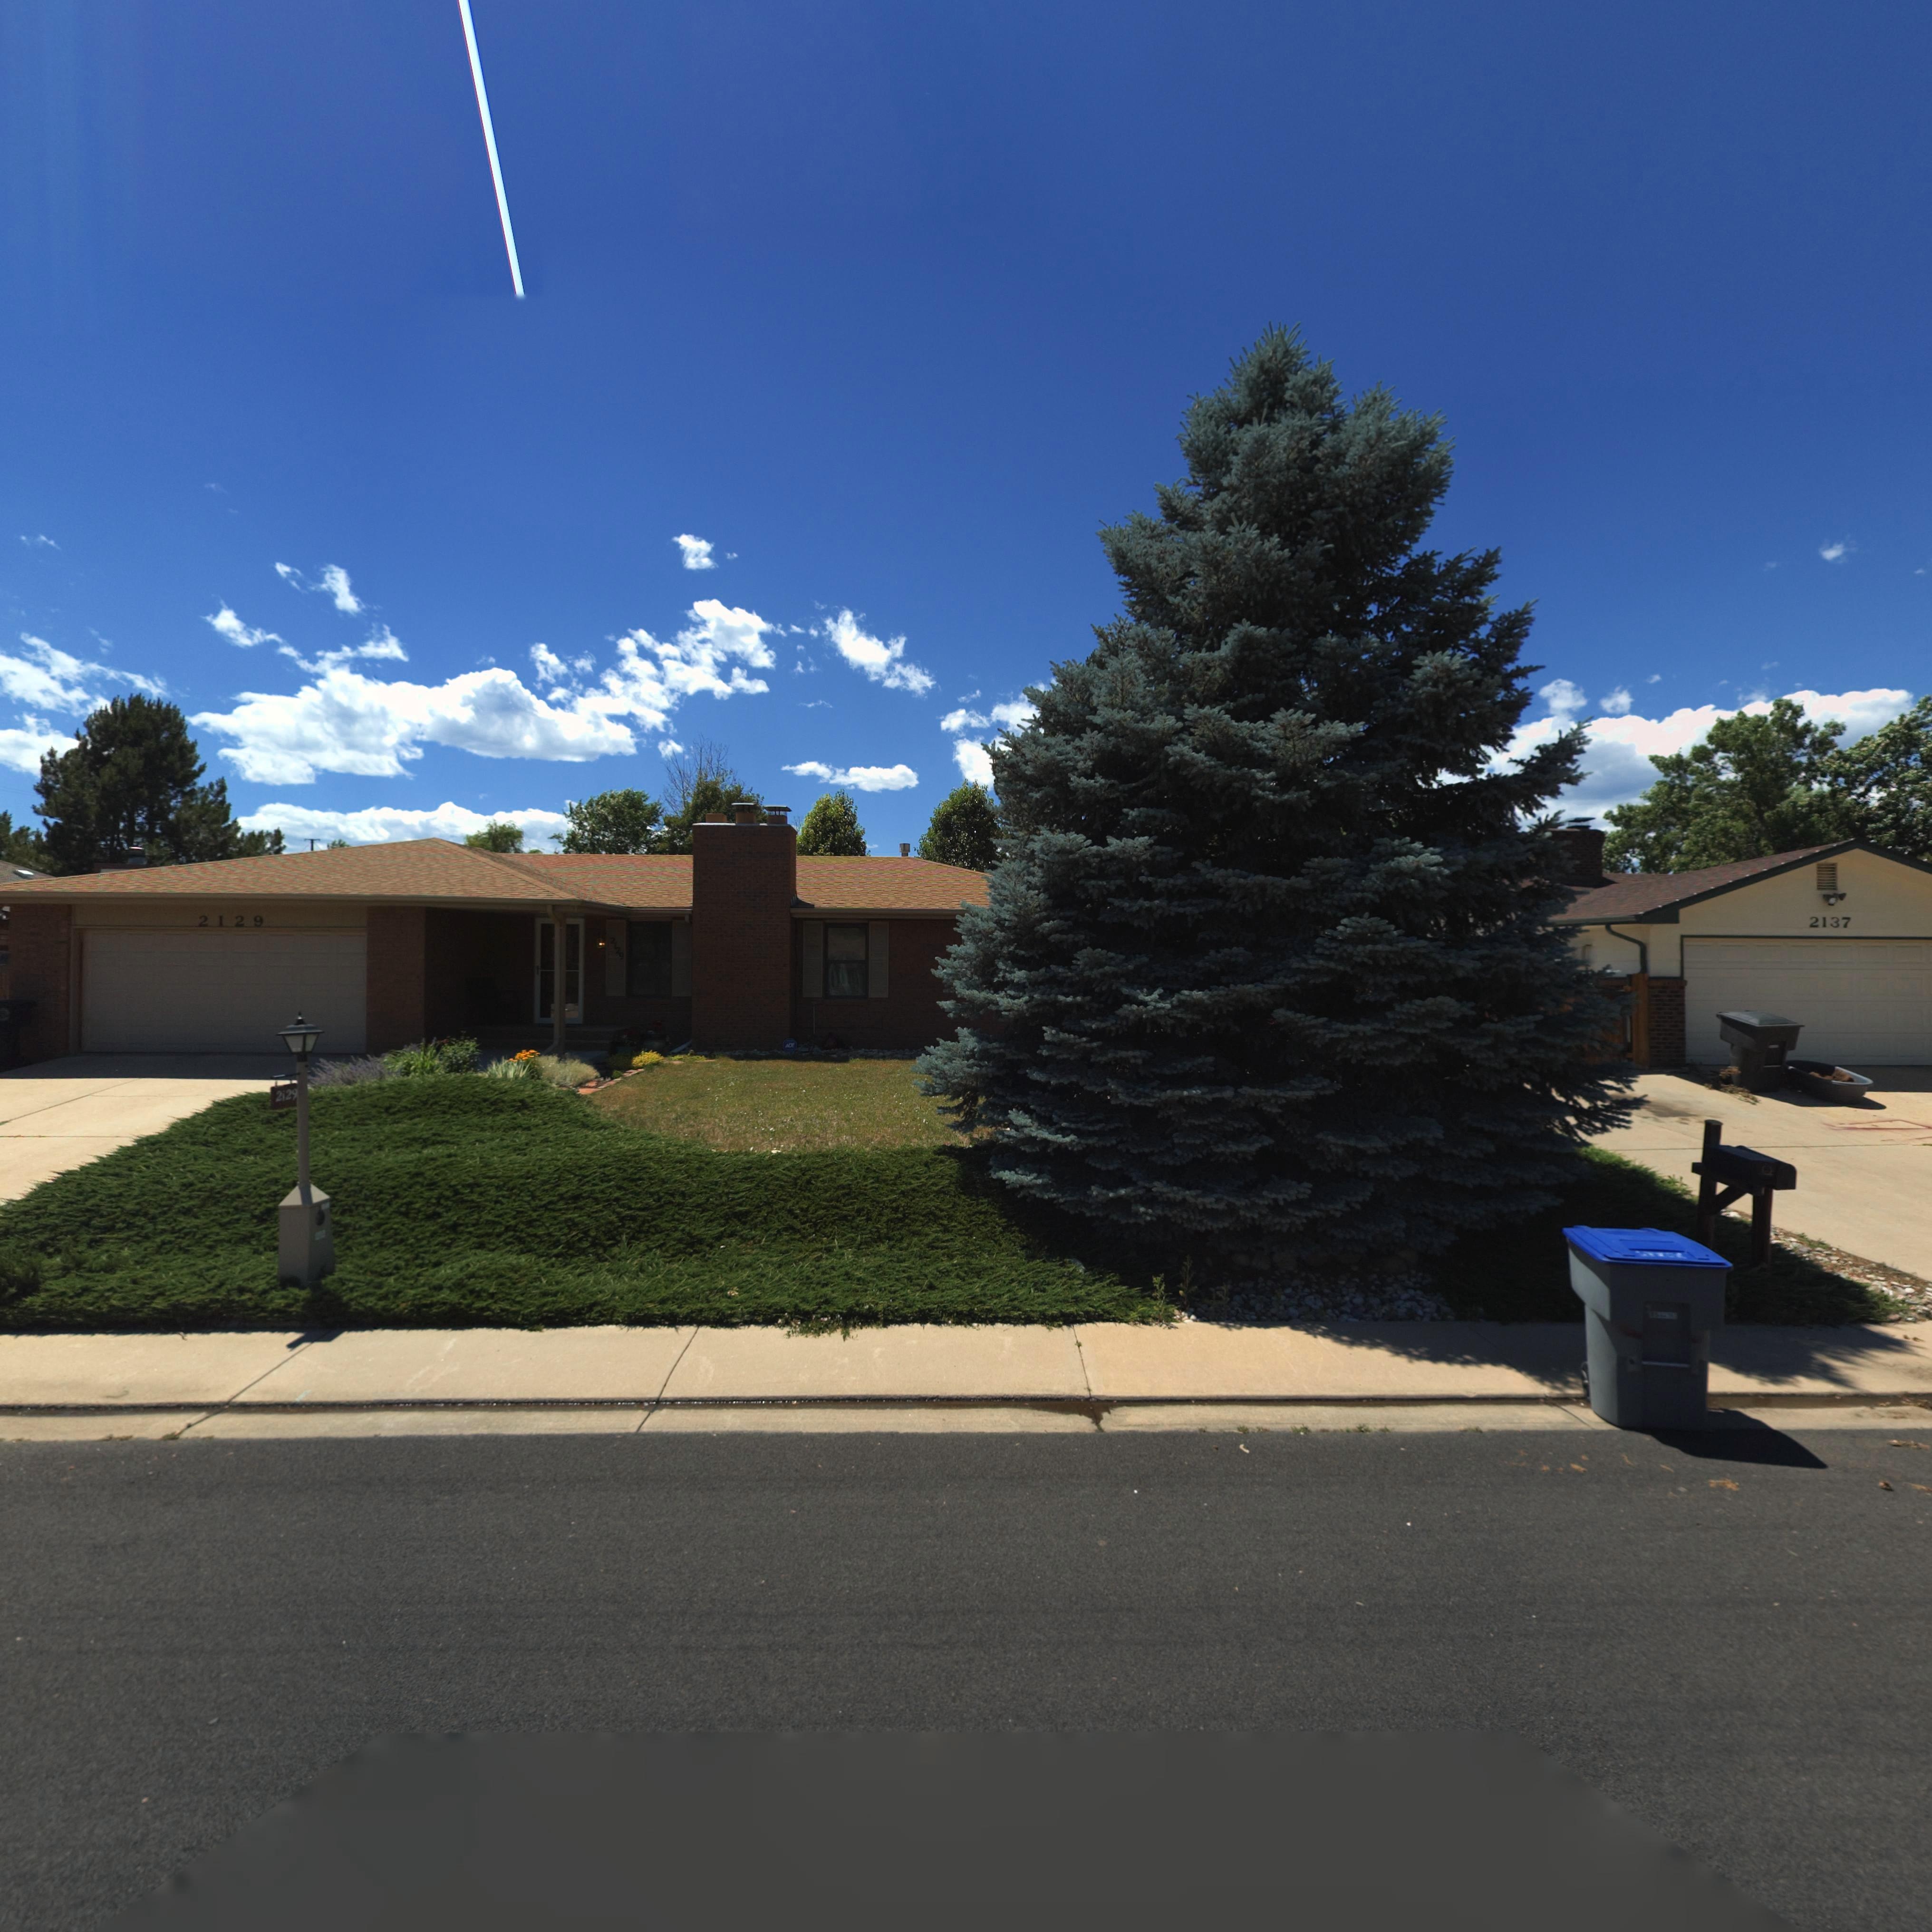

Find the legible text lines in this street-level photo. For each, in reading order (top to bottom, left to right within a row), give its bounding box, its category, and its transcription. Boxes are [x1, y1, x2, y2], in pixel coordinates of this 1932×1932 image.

[197, 914, 264, 927] StreetNumber: 2129
[1808, 916, 1852, 928] StreetNumber: 2137
[609, 937, 624, 960] StreetNumber: 2129
[274, 1088, 299, 1102] StreetNumber: 2129